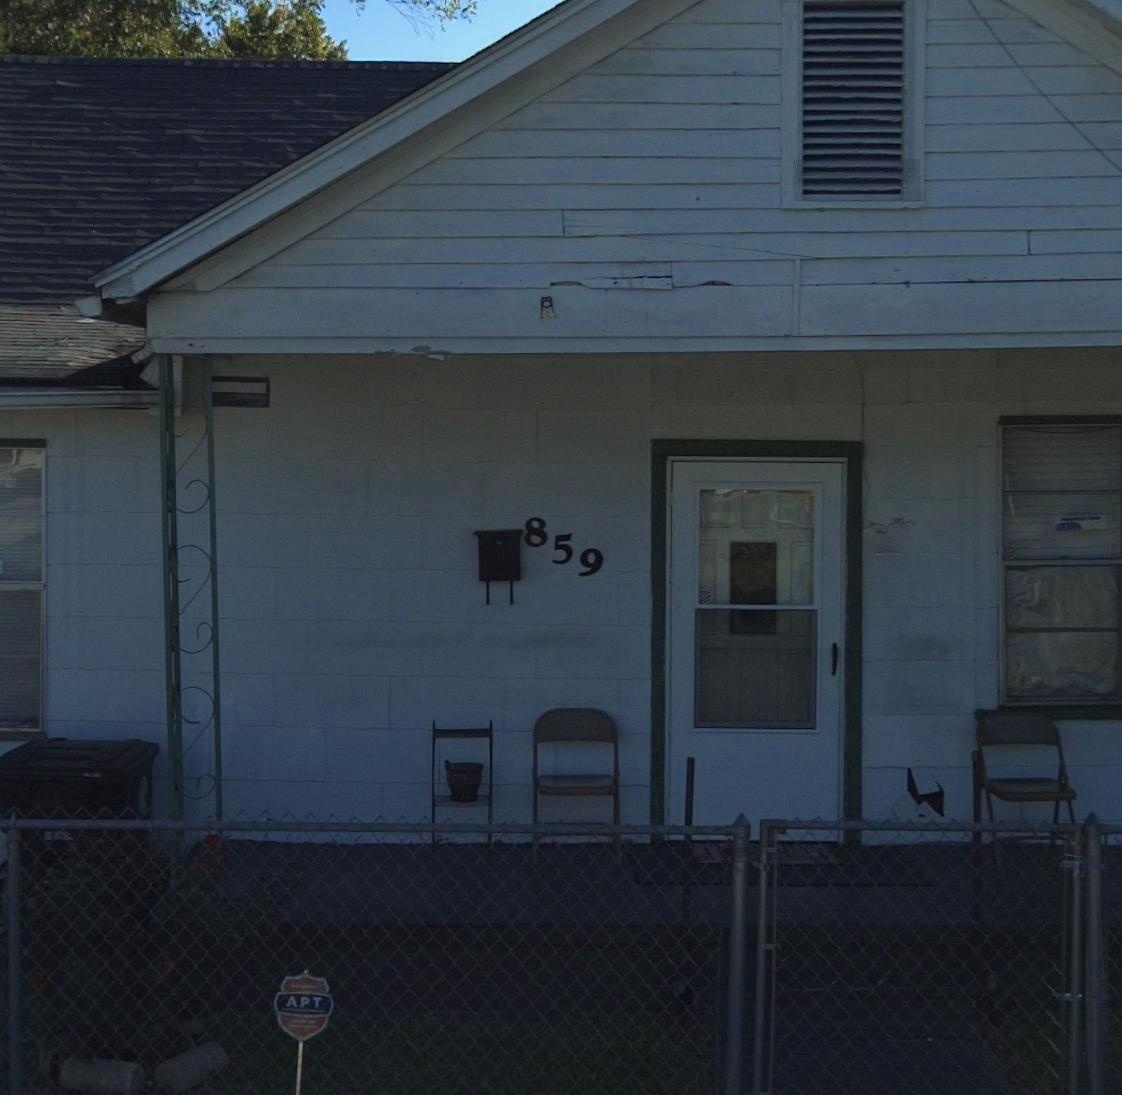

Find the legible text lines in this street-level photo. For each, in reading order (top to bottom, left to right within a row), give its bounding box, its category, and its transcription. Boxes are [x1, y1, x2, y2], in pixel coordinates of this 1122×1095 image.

[521, 512, 612, 589] StreetNumber: 859
[282, 993, 325, 1011] None: APT